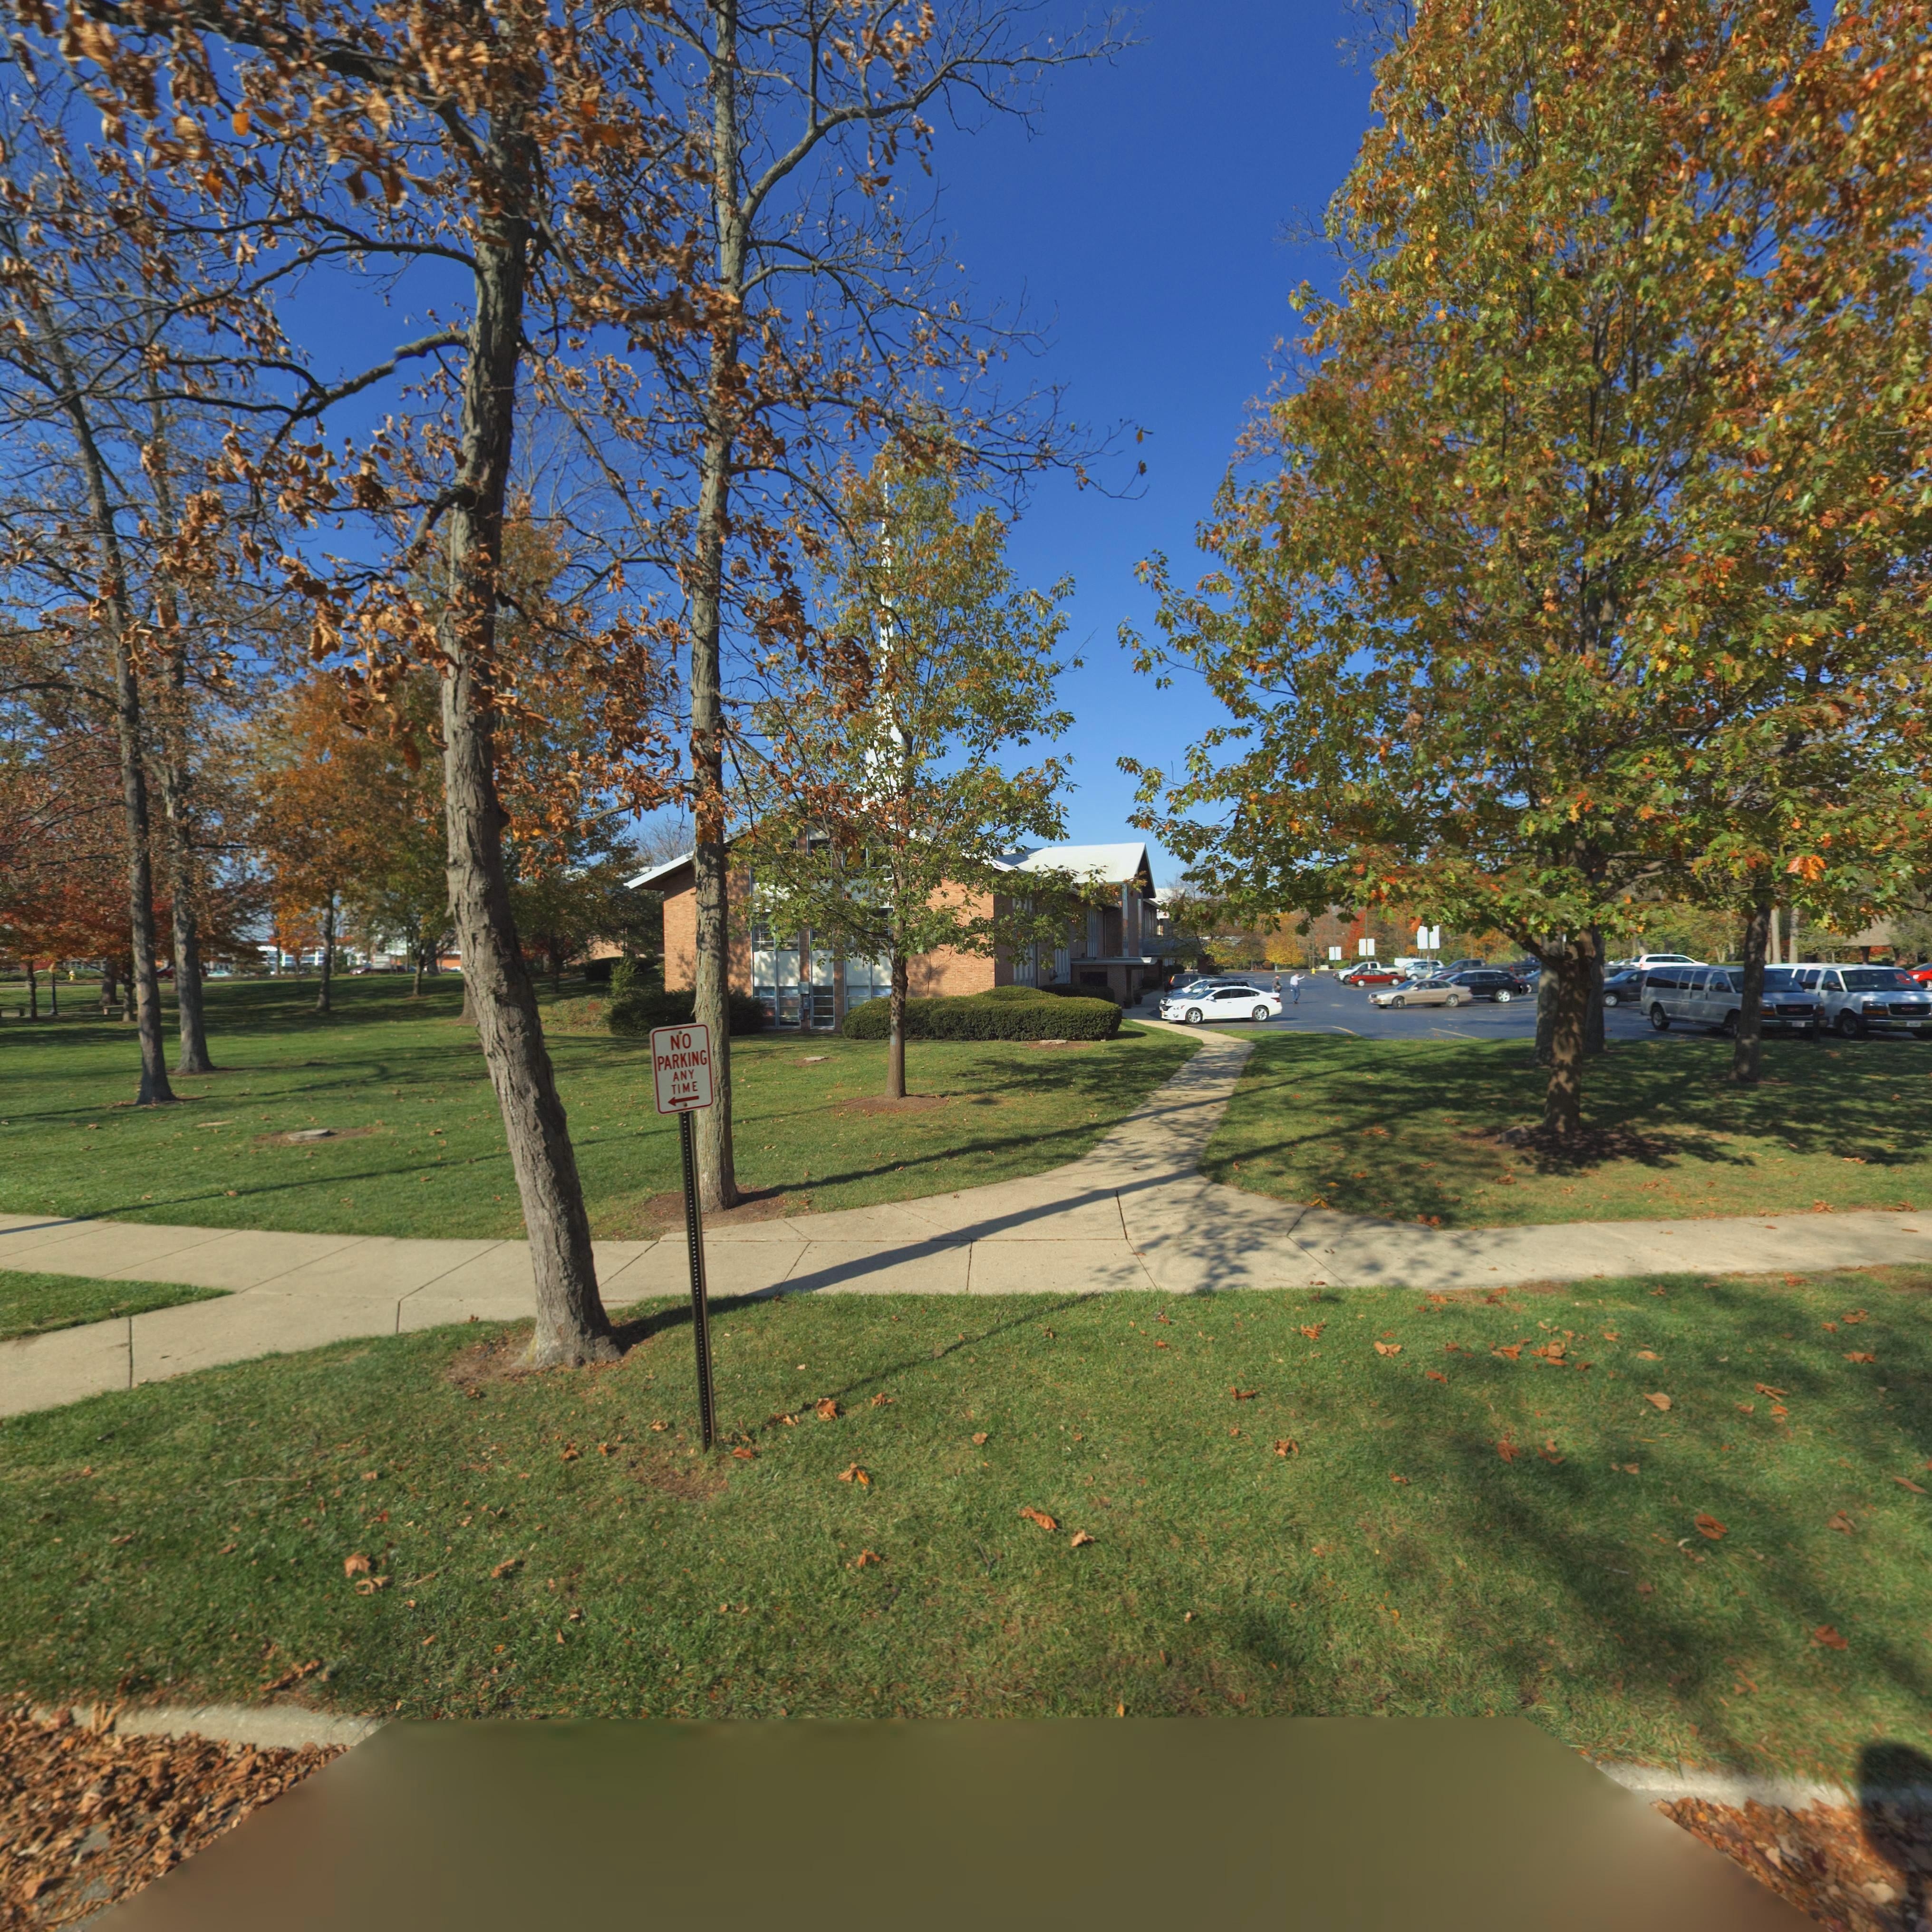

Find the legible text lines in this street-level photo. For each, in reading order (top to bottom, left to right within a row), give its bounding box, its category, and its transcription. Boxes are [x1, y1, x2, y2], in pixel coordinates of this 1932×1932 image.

[670, 1032, 692, 1051] None: NO
[657, 1049, 708, 1072] None: PARKING
[673, 1068, 695, 1082] None: ANY
[671, 1081, 699, 1095] None: TIME